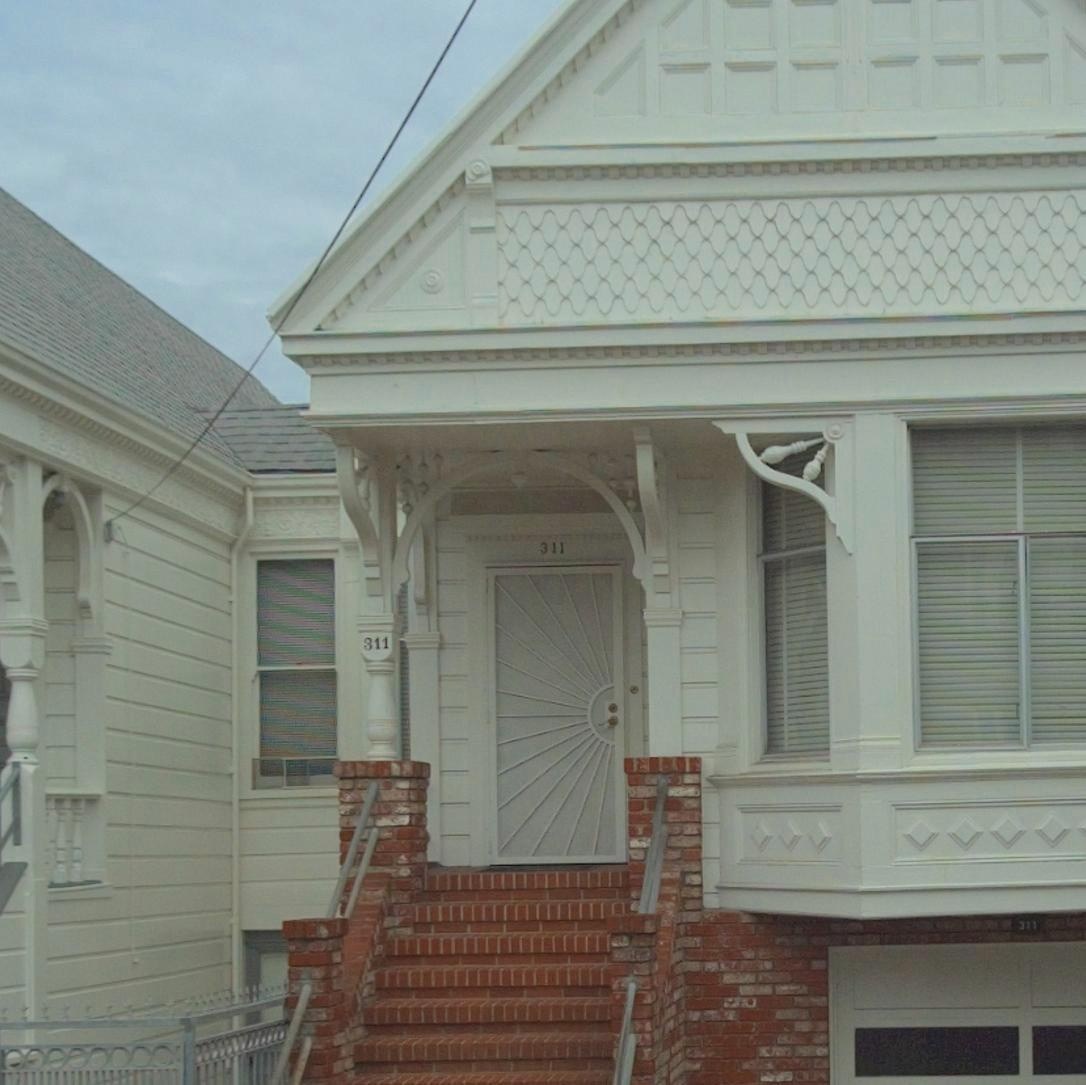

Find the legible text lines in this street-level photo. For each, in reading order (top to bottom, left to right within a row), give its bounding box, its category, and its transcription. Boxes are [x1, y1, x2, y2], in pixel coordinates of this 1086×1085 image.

[539, 541, 565, 555] StreetNumber: 311
[363, 636, 390, 651] StreetNumber: 311